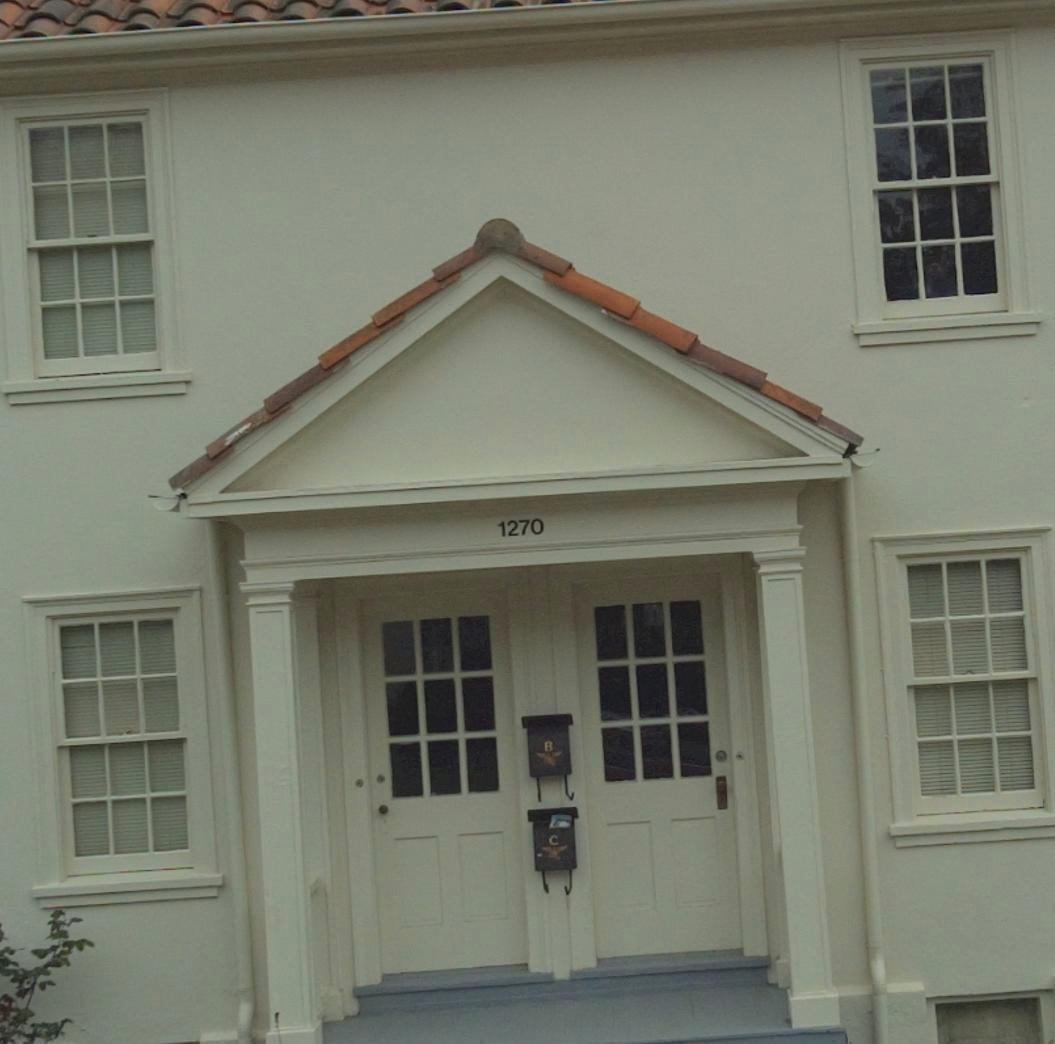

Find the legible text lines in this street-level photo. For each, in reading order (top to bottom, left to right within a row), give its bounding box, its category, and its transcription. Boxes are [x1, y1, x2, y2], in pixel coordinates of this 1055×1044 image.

[496, 517, 546, 538] StreetNumber: 1270
[543, 739, 555, 753] None: B